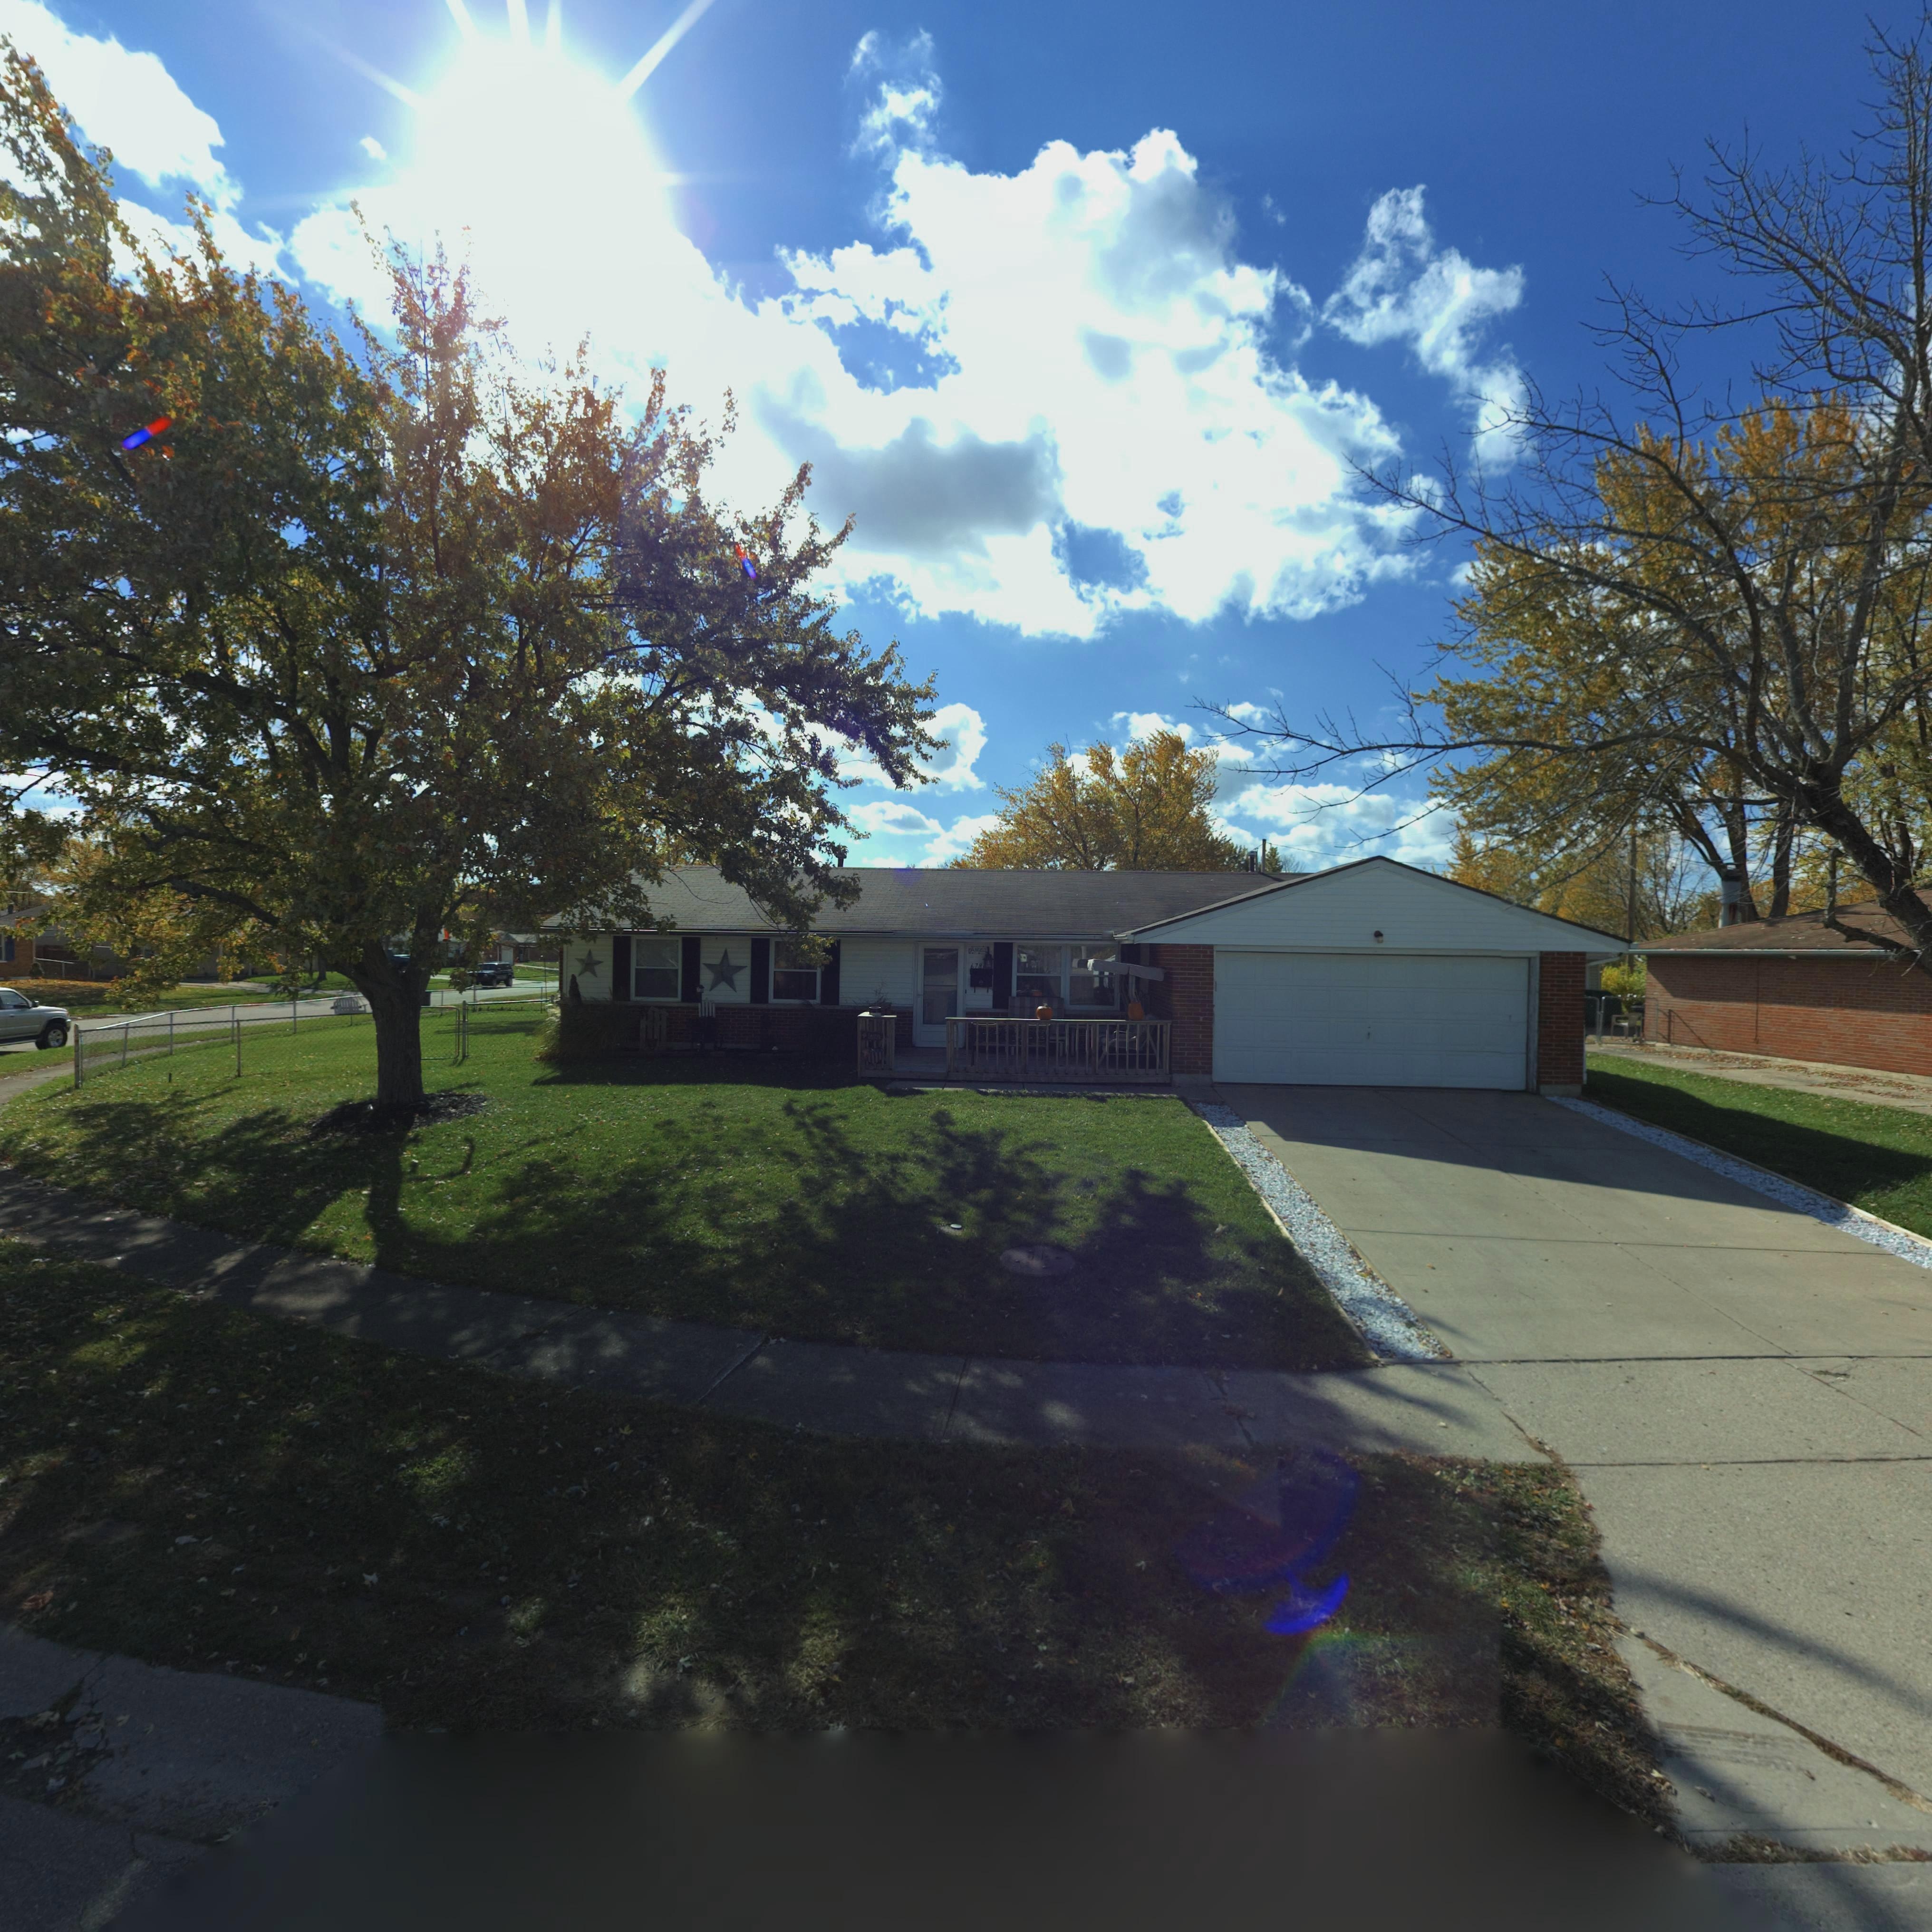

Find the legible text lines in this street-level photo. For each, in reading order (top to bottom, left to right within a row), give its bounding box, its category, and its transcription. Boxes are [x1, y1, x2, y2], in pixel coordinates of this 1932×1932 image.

[970, 963, 982, 969] StreetNumber: 678